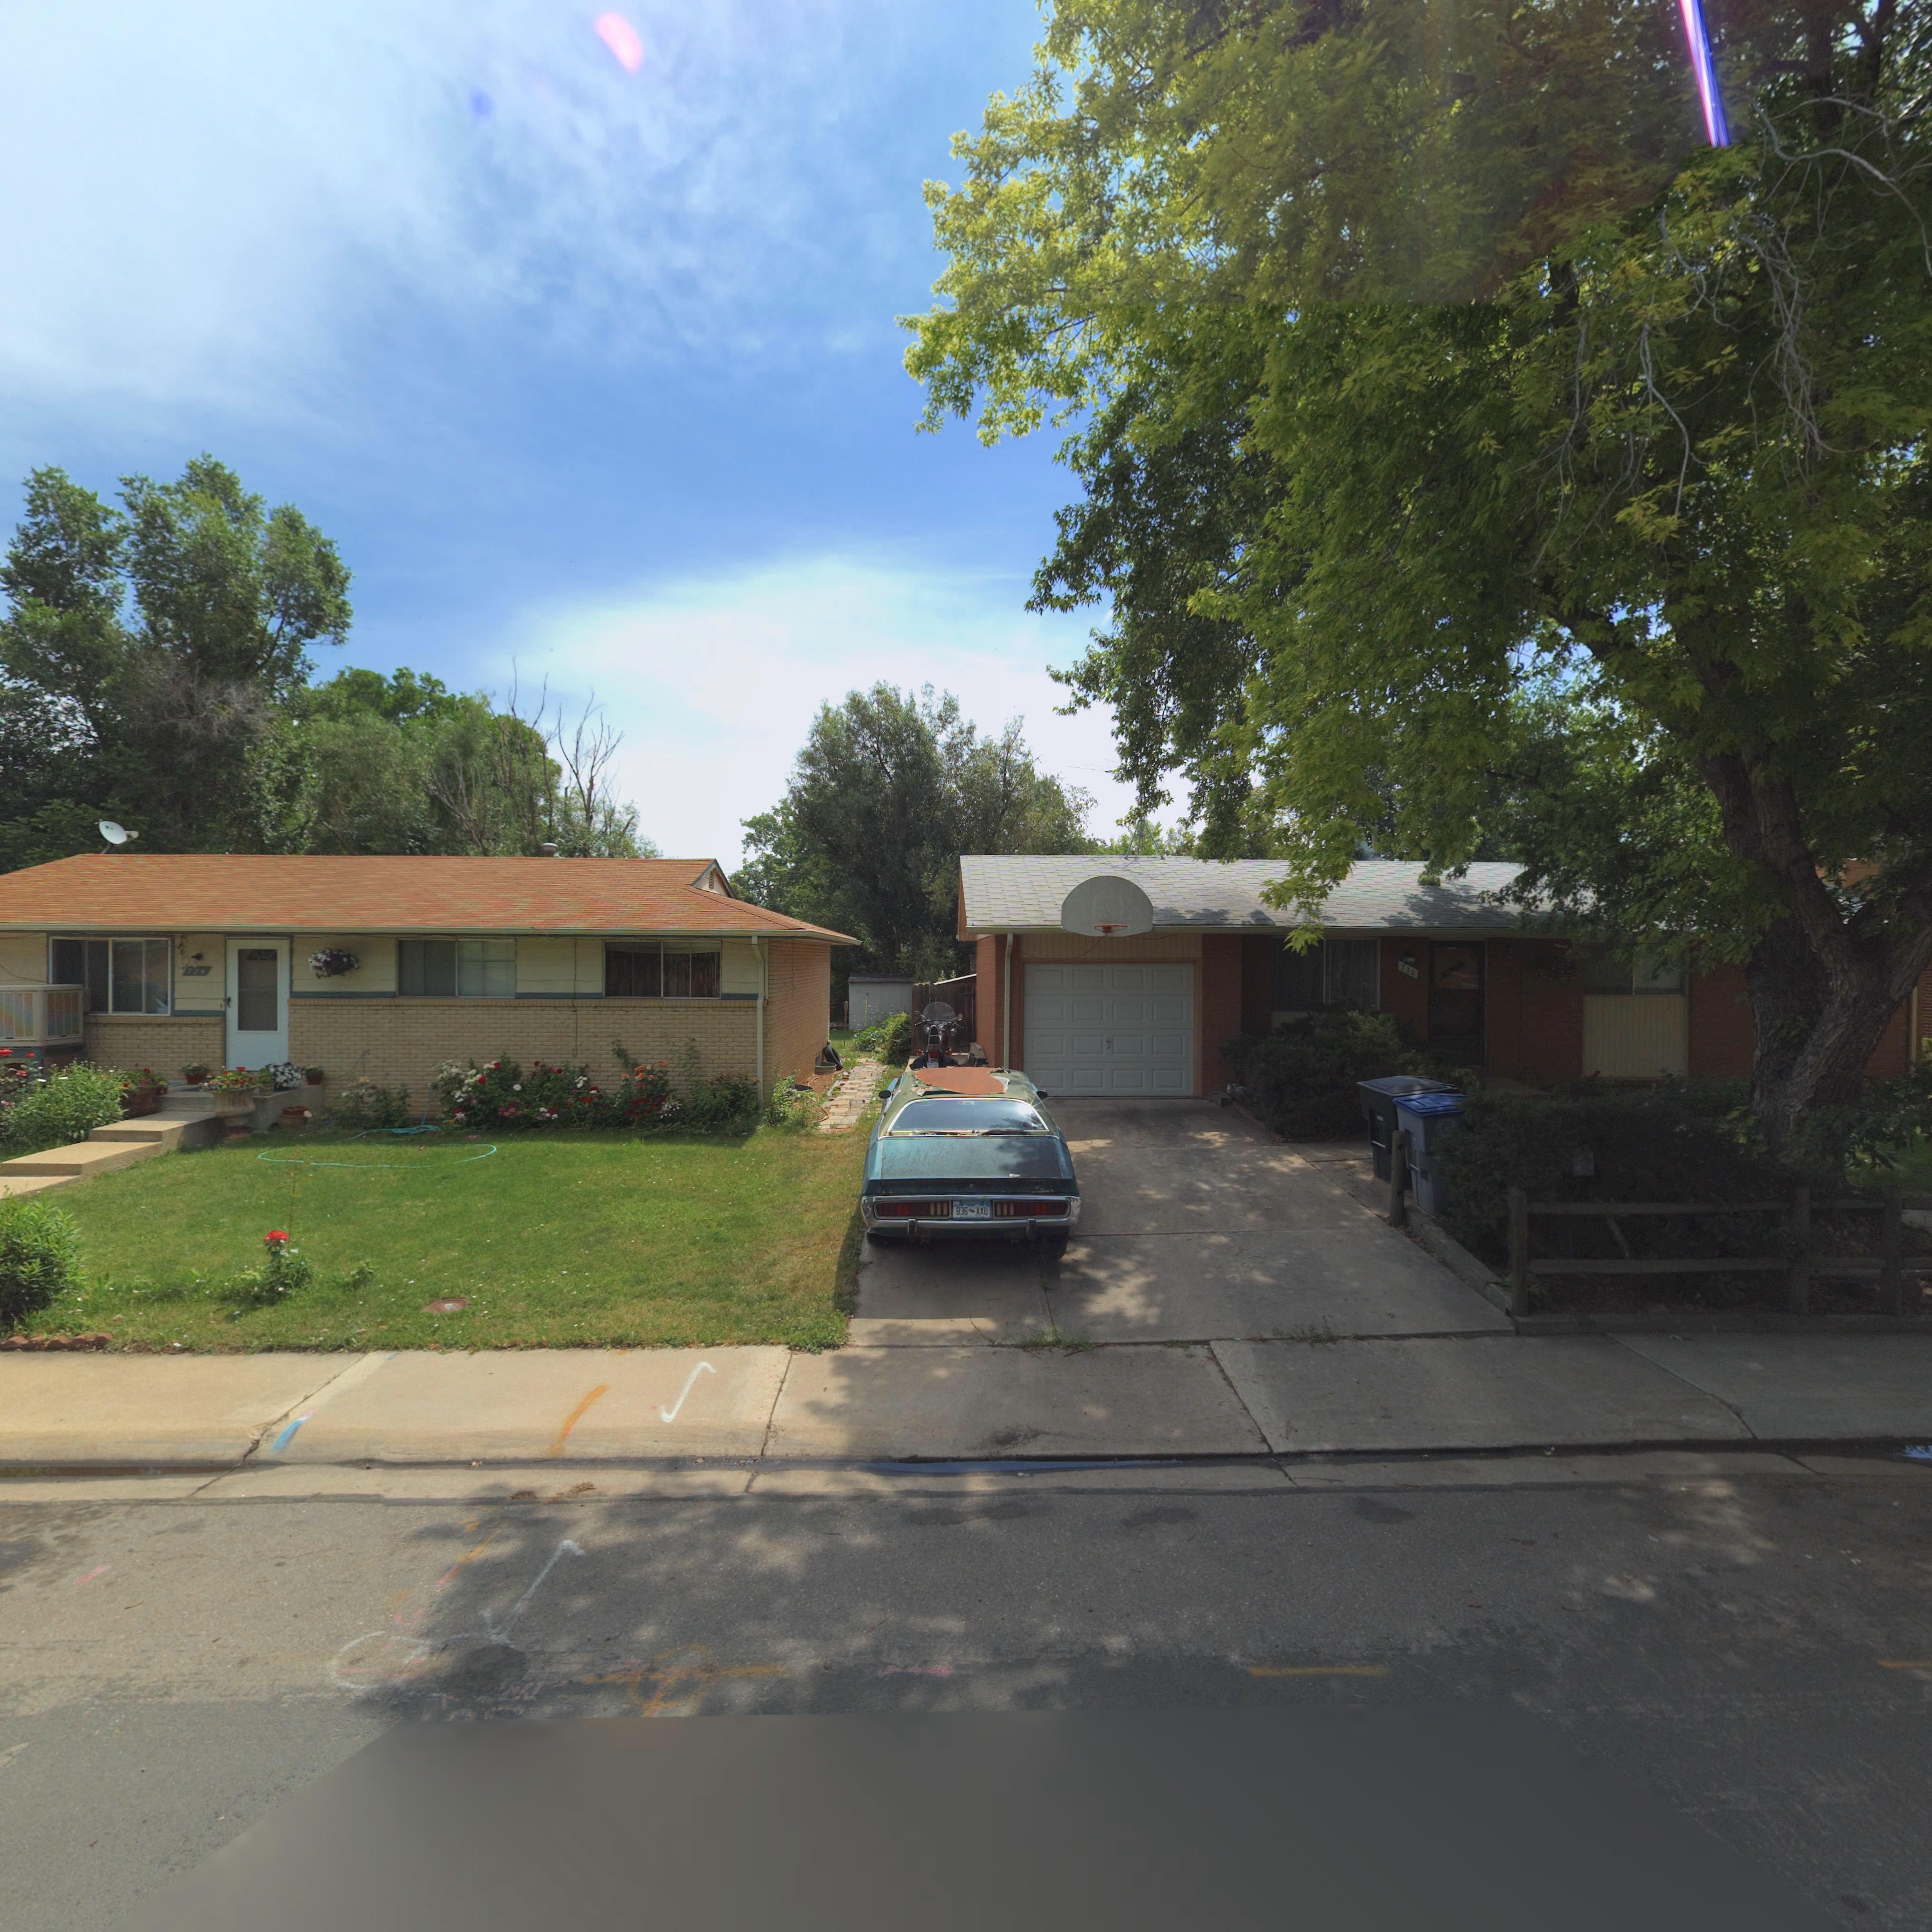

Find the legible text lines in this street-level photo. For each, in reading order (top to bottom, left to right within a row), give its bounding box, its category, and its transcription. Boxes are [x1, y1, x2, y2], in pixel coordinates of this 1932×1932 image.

[185, 967, 206, 975] StreetNumber: 726
[1400, 963, 1416, 976] StreetNumber: 750